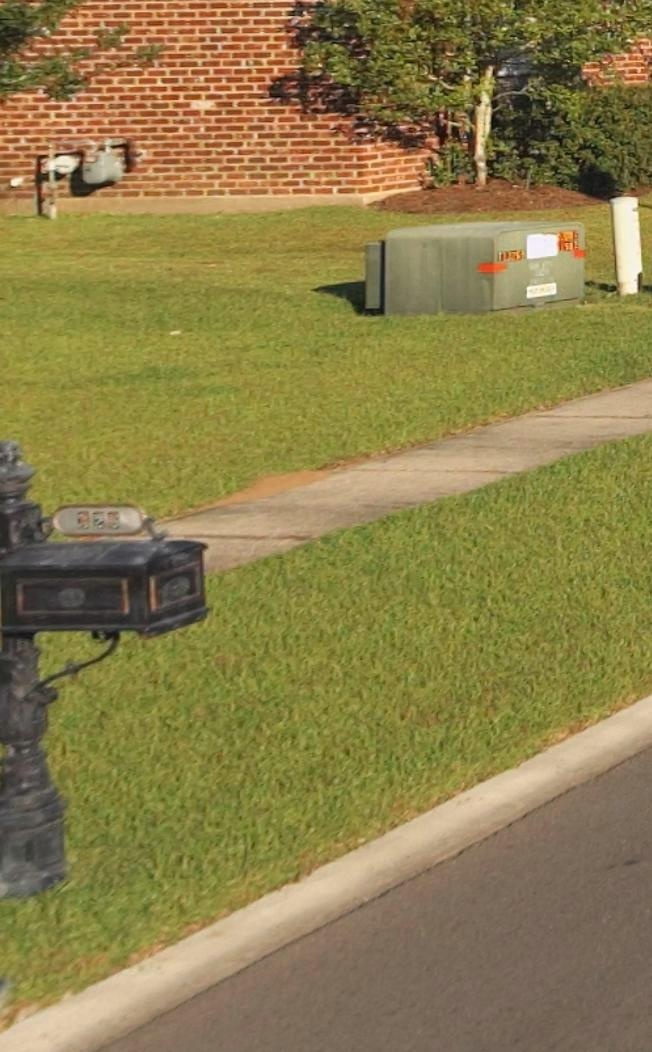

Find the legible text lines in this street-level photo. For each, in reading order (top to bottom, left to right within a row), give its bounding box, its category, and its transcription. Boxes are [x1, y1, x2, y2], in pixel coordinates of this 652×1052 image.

[76, 511, 120, 530] StreetNumber: 326